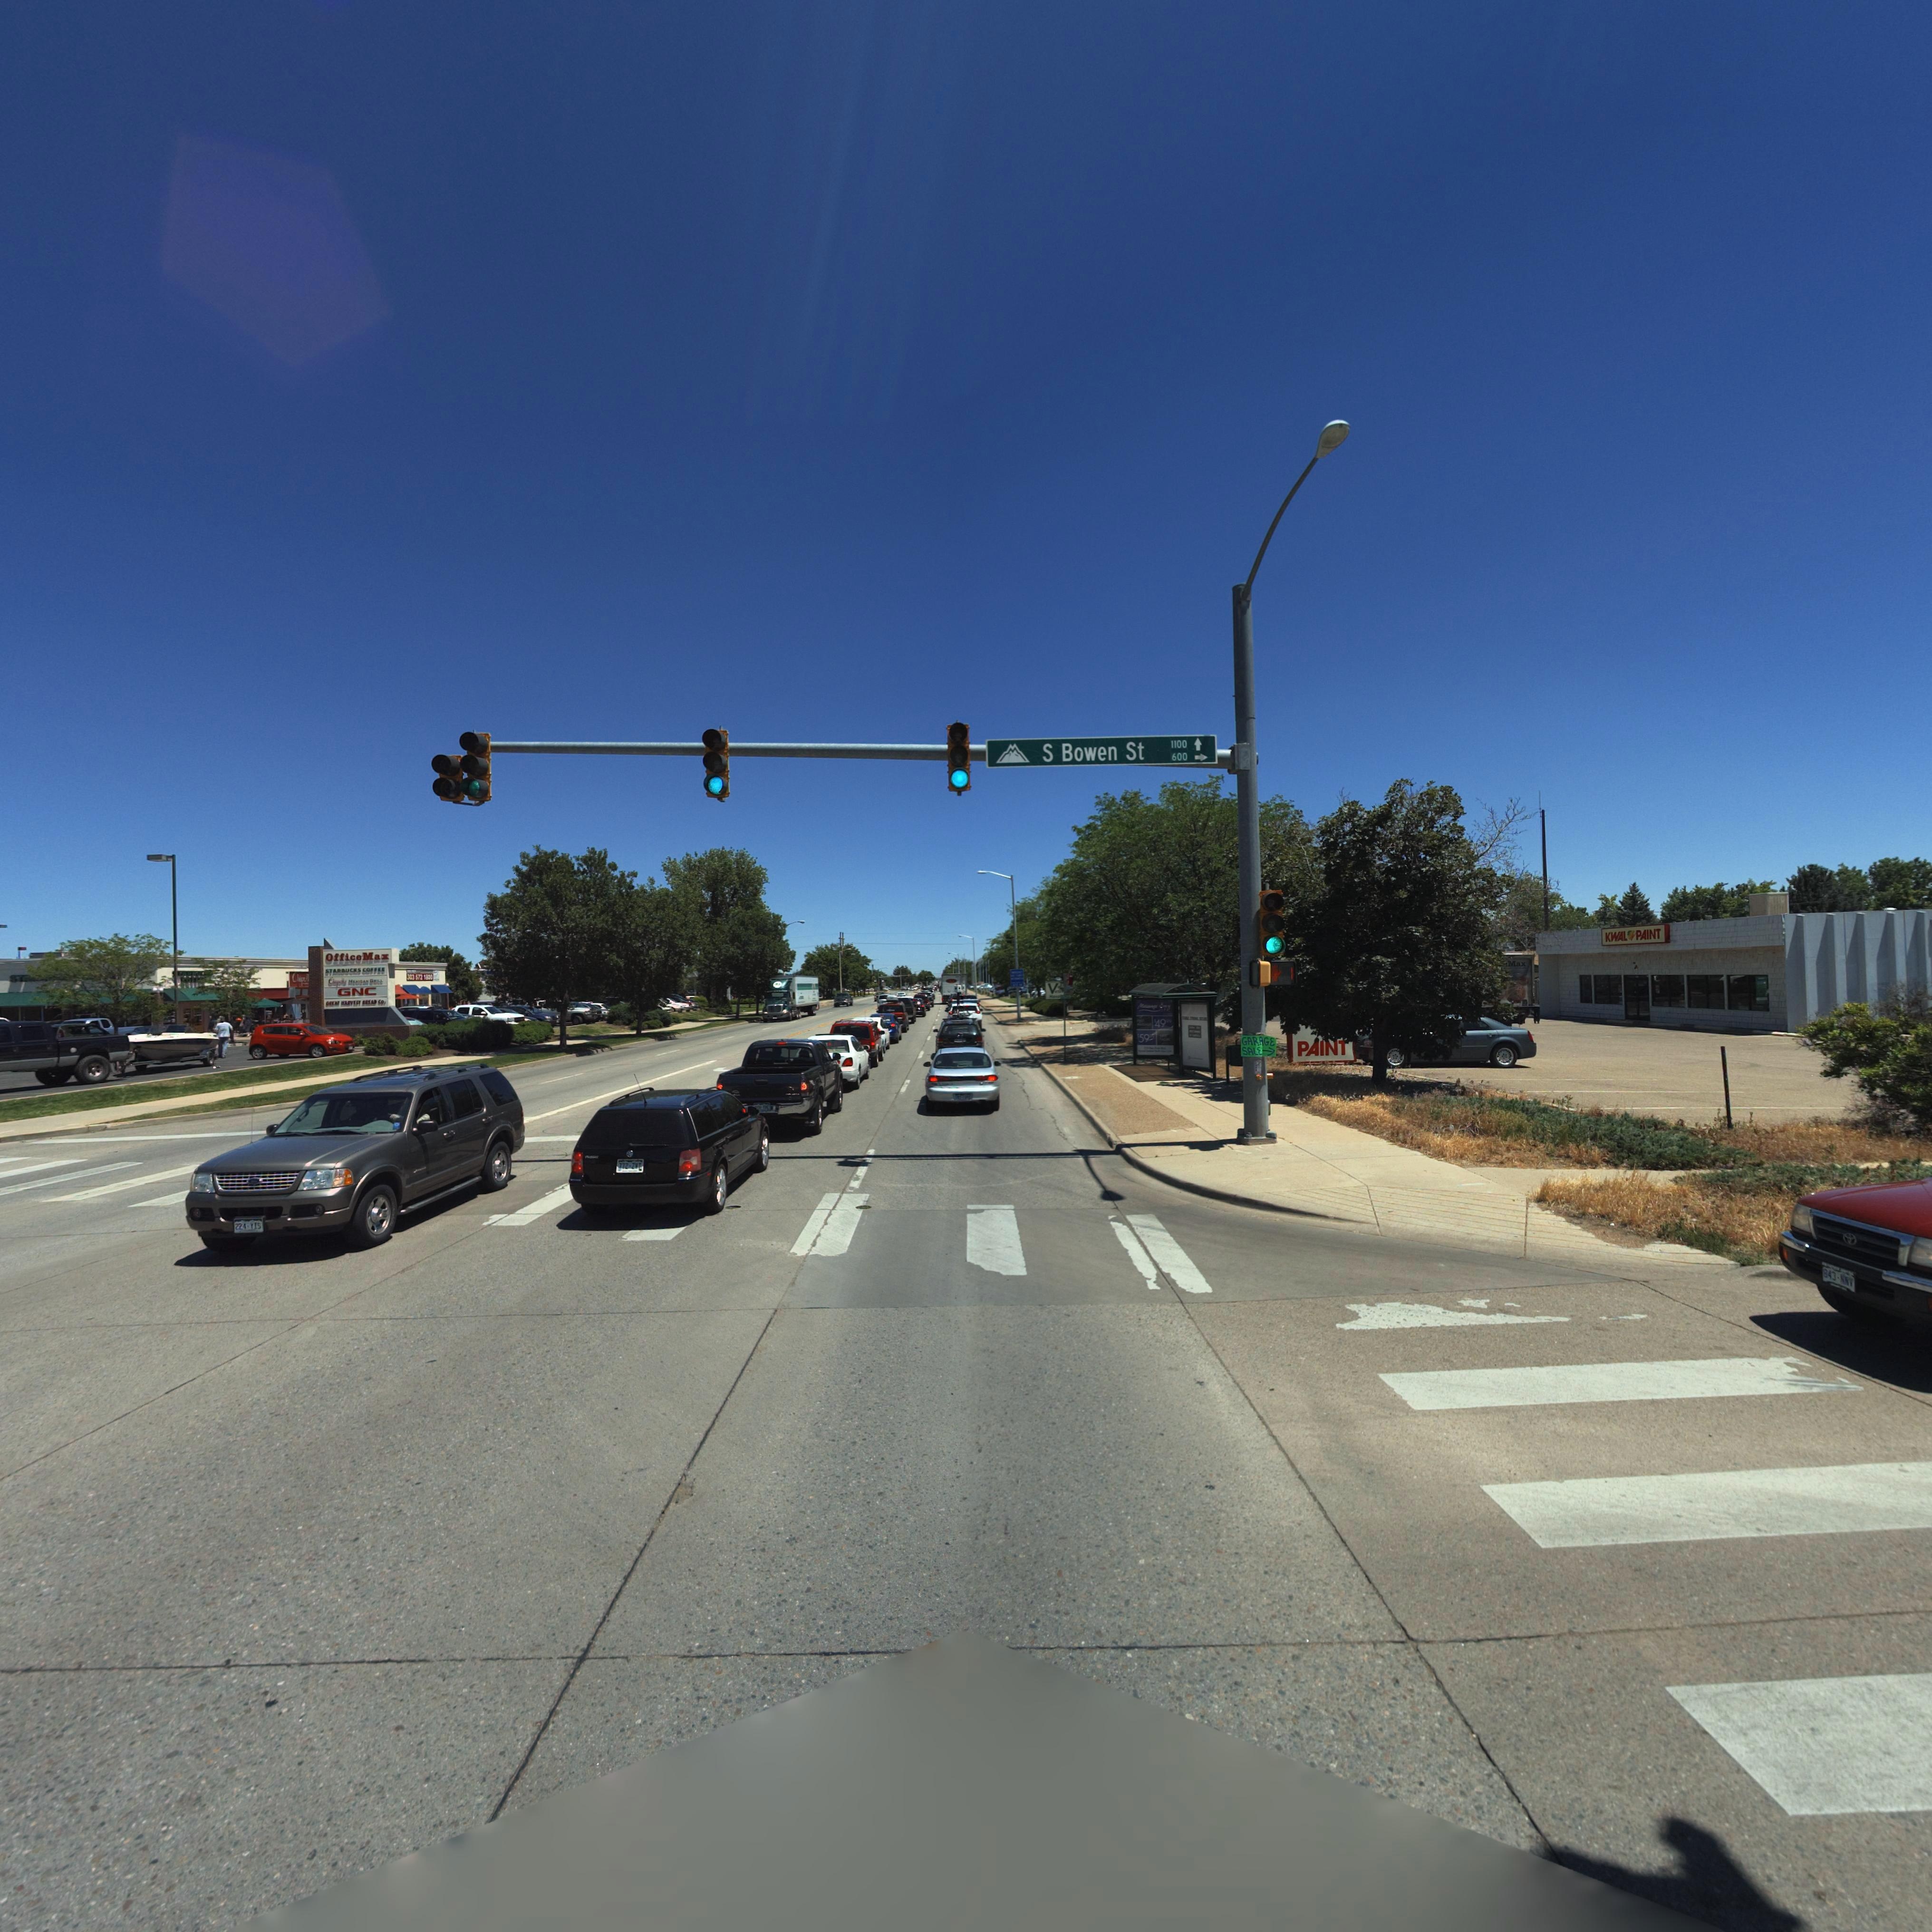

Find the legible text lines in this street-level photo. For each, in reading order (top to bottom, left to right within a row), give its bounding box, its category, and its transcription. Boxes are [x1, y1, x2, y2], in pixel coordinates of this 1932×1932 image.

[1170, 739, 1188, 748] StreetNumberRange: 1100
[1041, 740, 1146, 763] StreetName: S Bowen St
[1171, 752, 1209, 762] StreetNumberRange: 600->
[1605, 928, 1661, 942] BusinessName: KWAL PAINT
[325, 952, 389, 962] BusinessName: Office Max
[178, 971, 197, 976] BusinessName: TA**
[325, 967, 385, 973] BusinessName: STA*BUCKS CO*F*E
[181, 977, 198, 982] BusinessName: COF*
[291, 972, 309, 985] BusinessName: Chipo*
[328, 977, 383, 986] BusinessName: Ch*po*** M**CAN G***L
[337, 987, 377, 996] BusinessName: GNC
[325, 999, 384, 1005] BusinessName: G**T ******T ****D CO.
[1296, 1039, 1348, 1057] BusinessName: PAINT